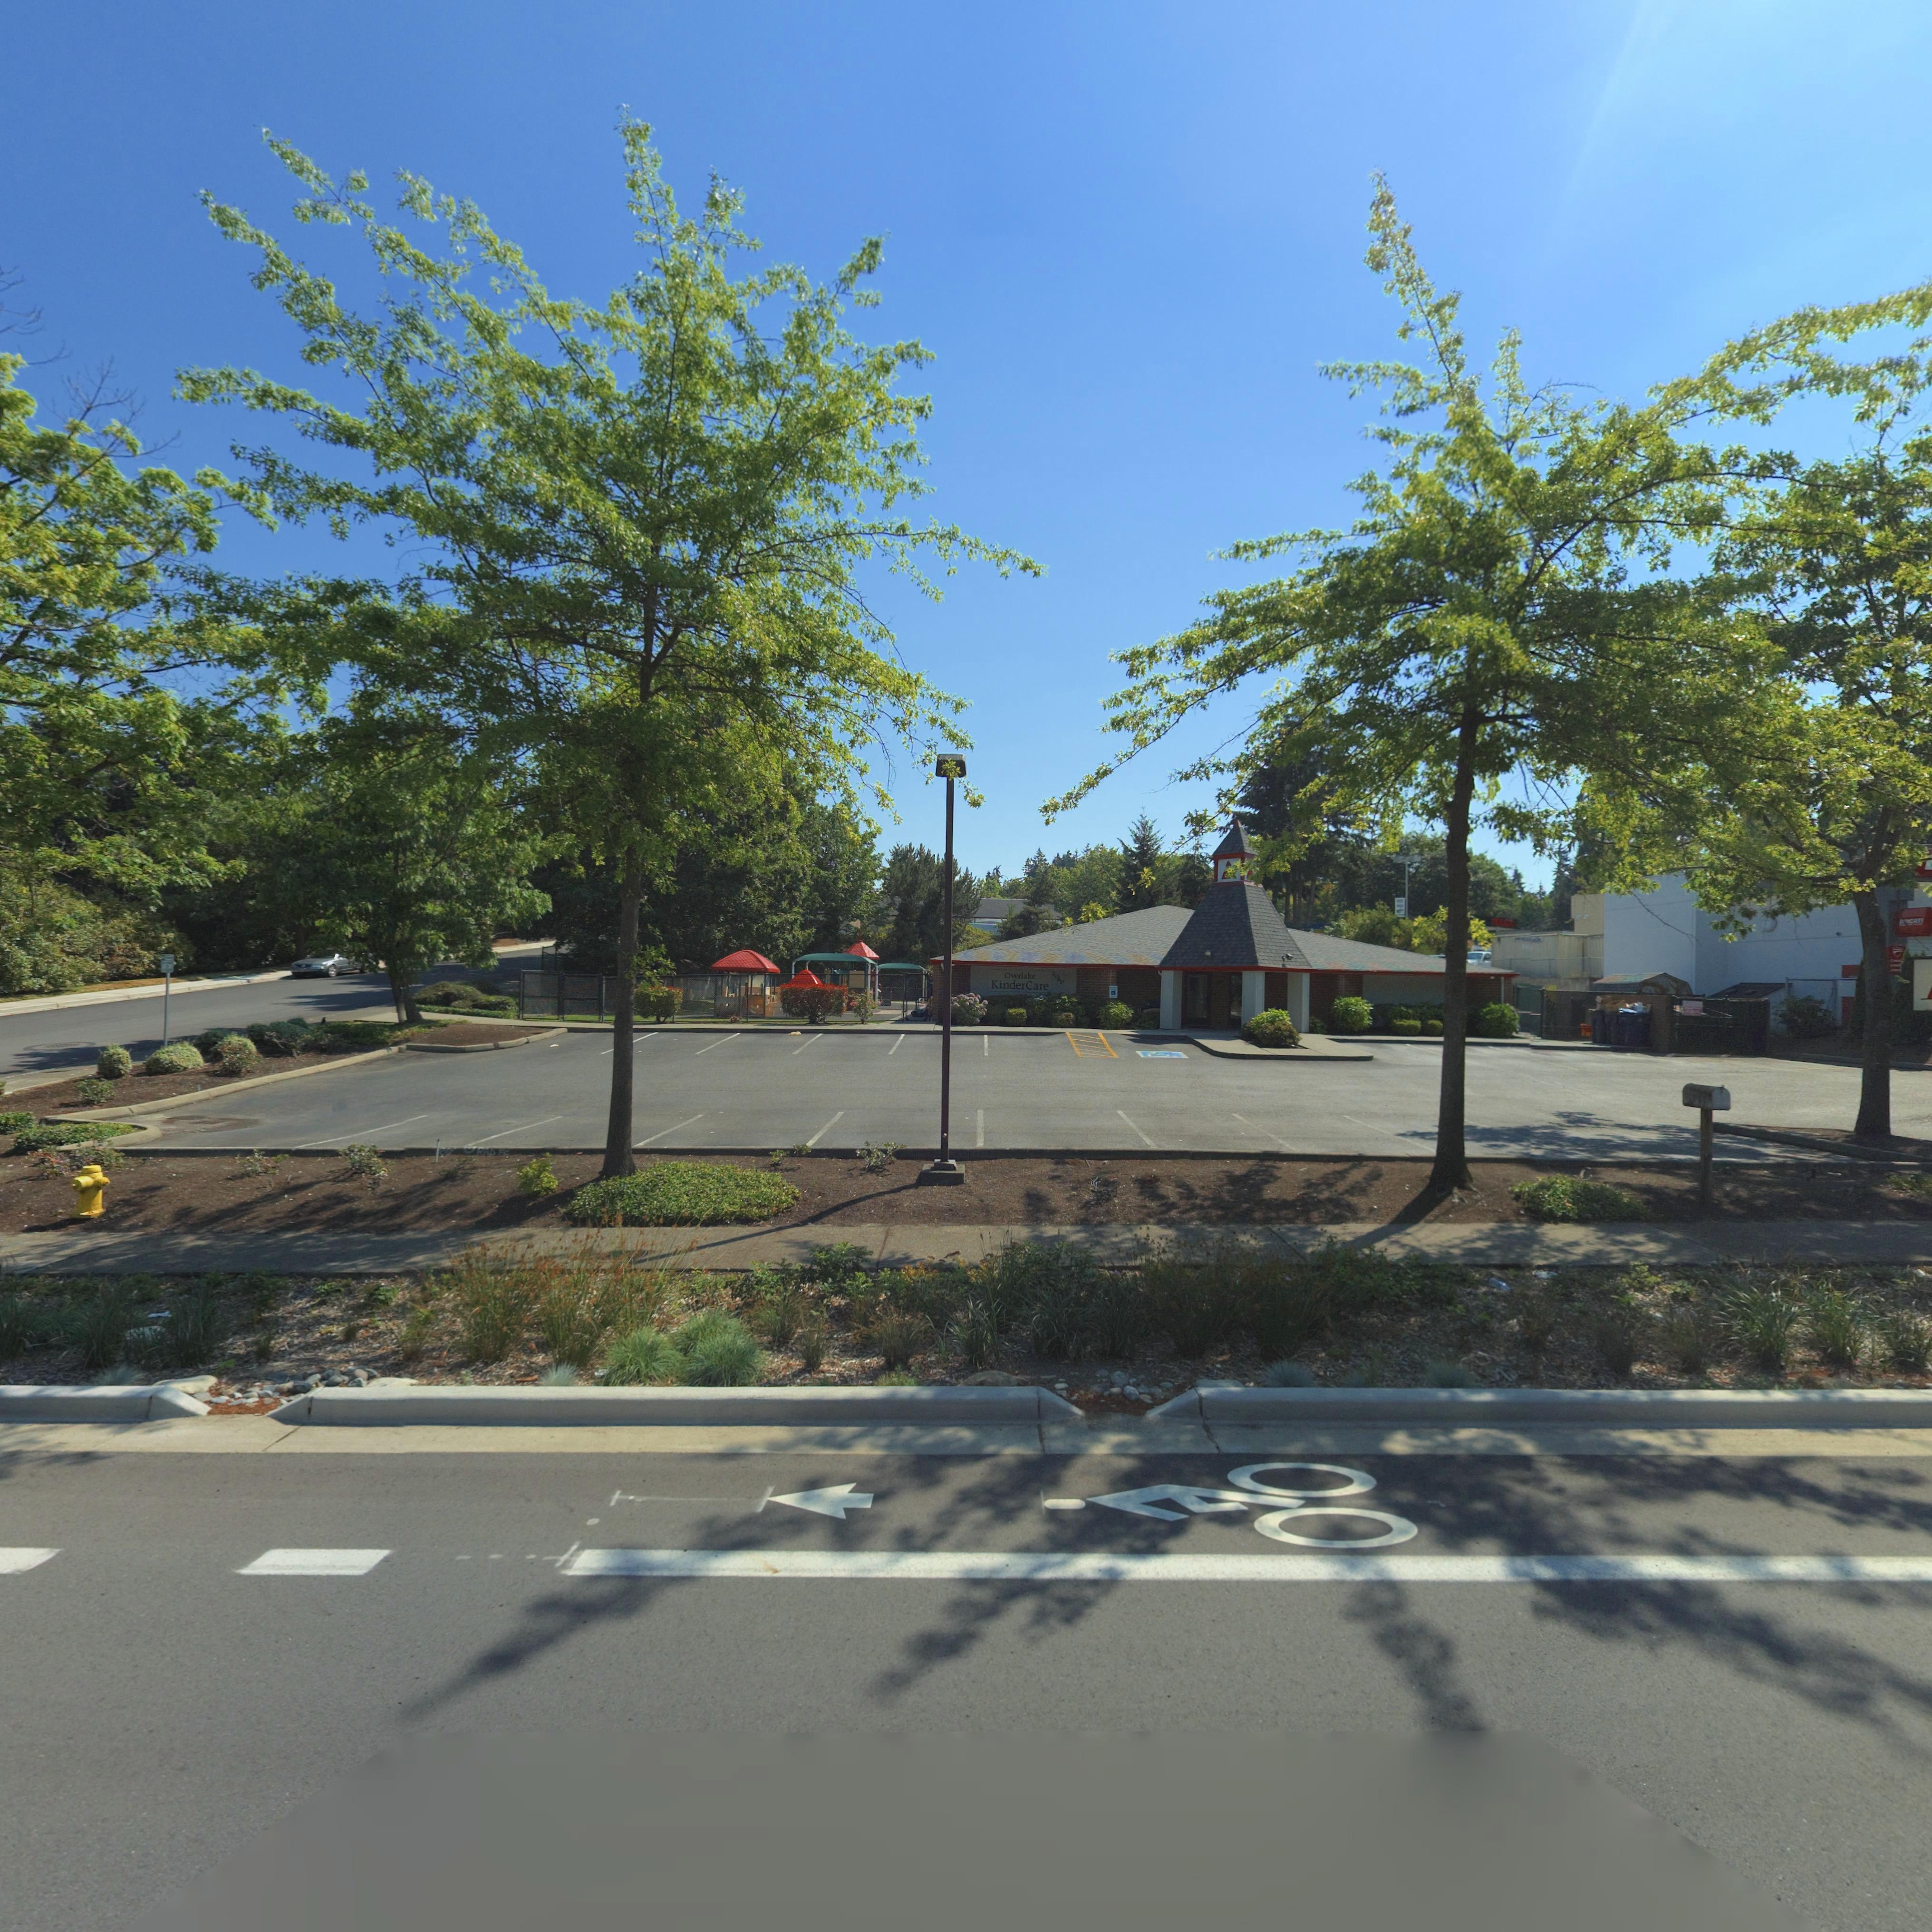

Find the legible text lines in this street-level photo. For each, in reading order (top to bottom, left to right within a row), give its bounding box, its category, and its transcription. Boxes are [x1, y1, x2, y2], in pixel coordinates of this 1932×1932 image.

[1004, 971, 1035, 979] BusinessName: Overlake
[1052, 971, 1064, 985] StreetNumber: 2060
[991, 979, 1049, 990] BusinessName: KinderCare